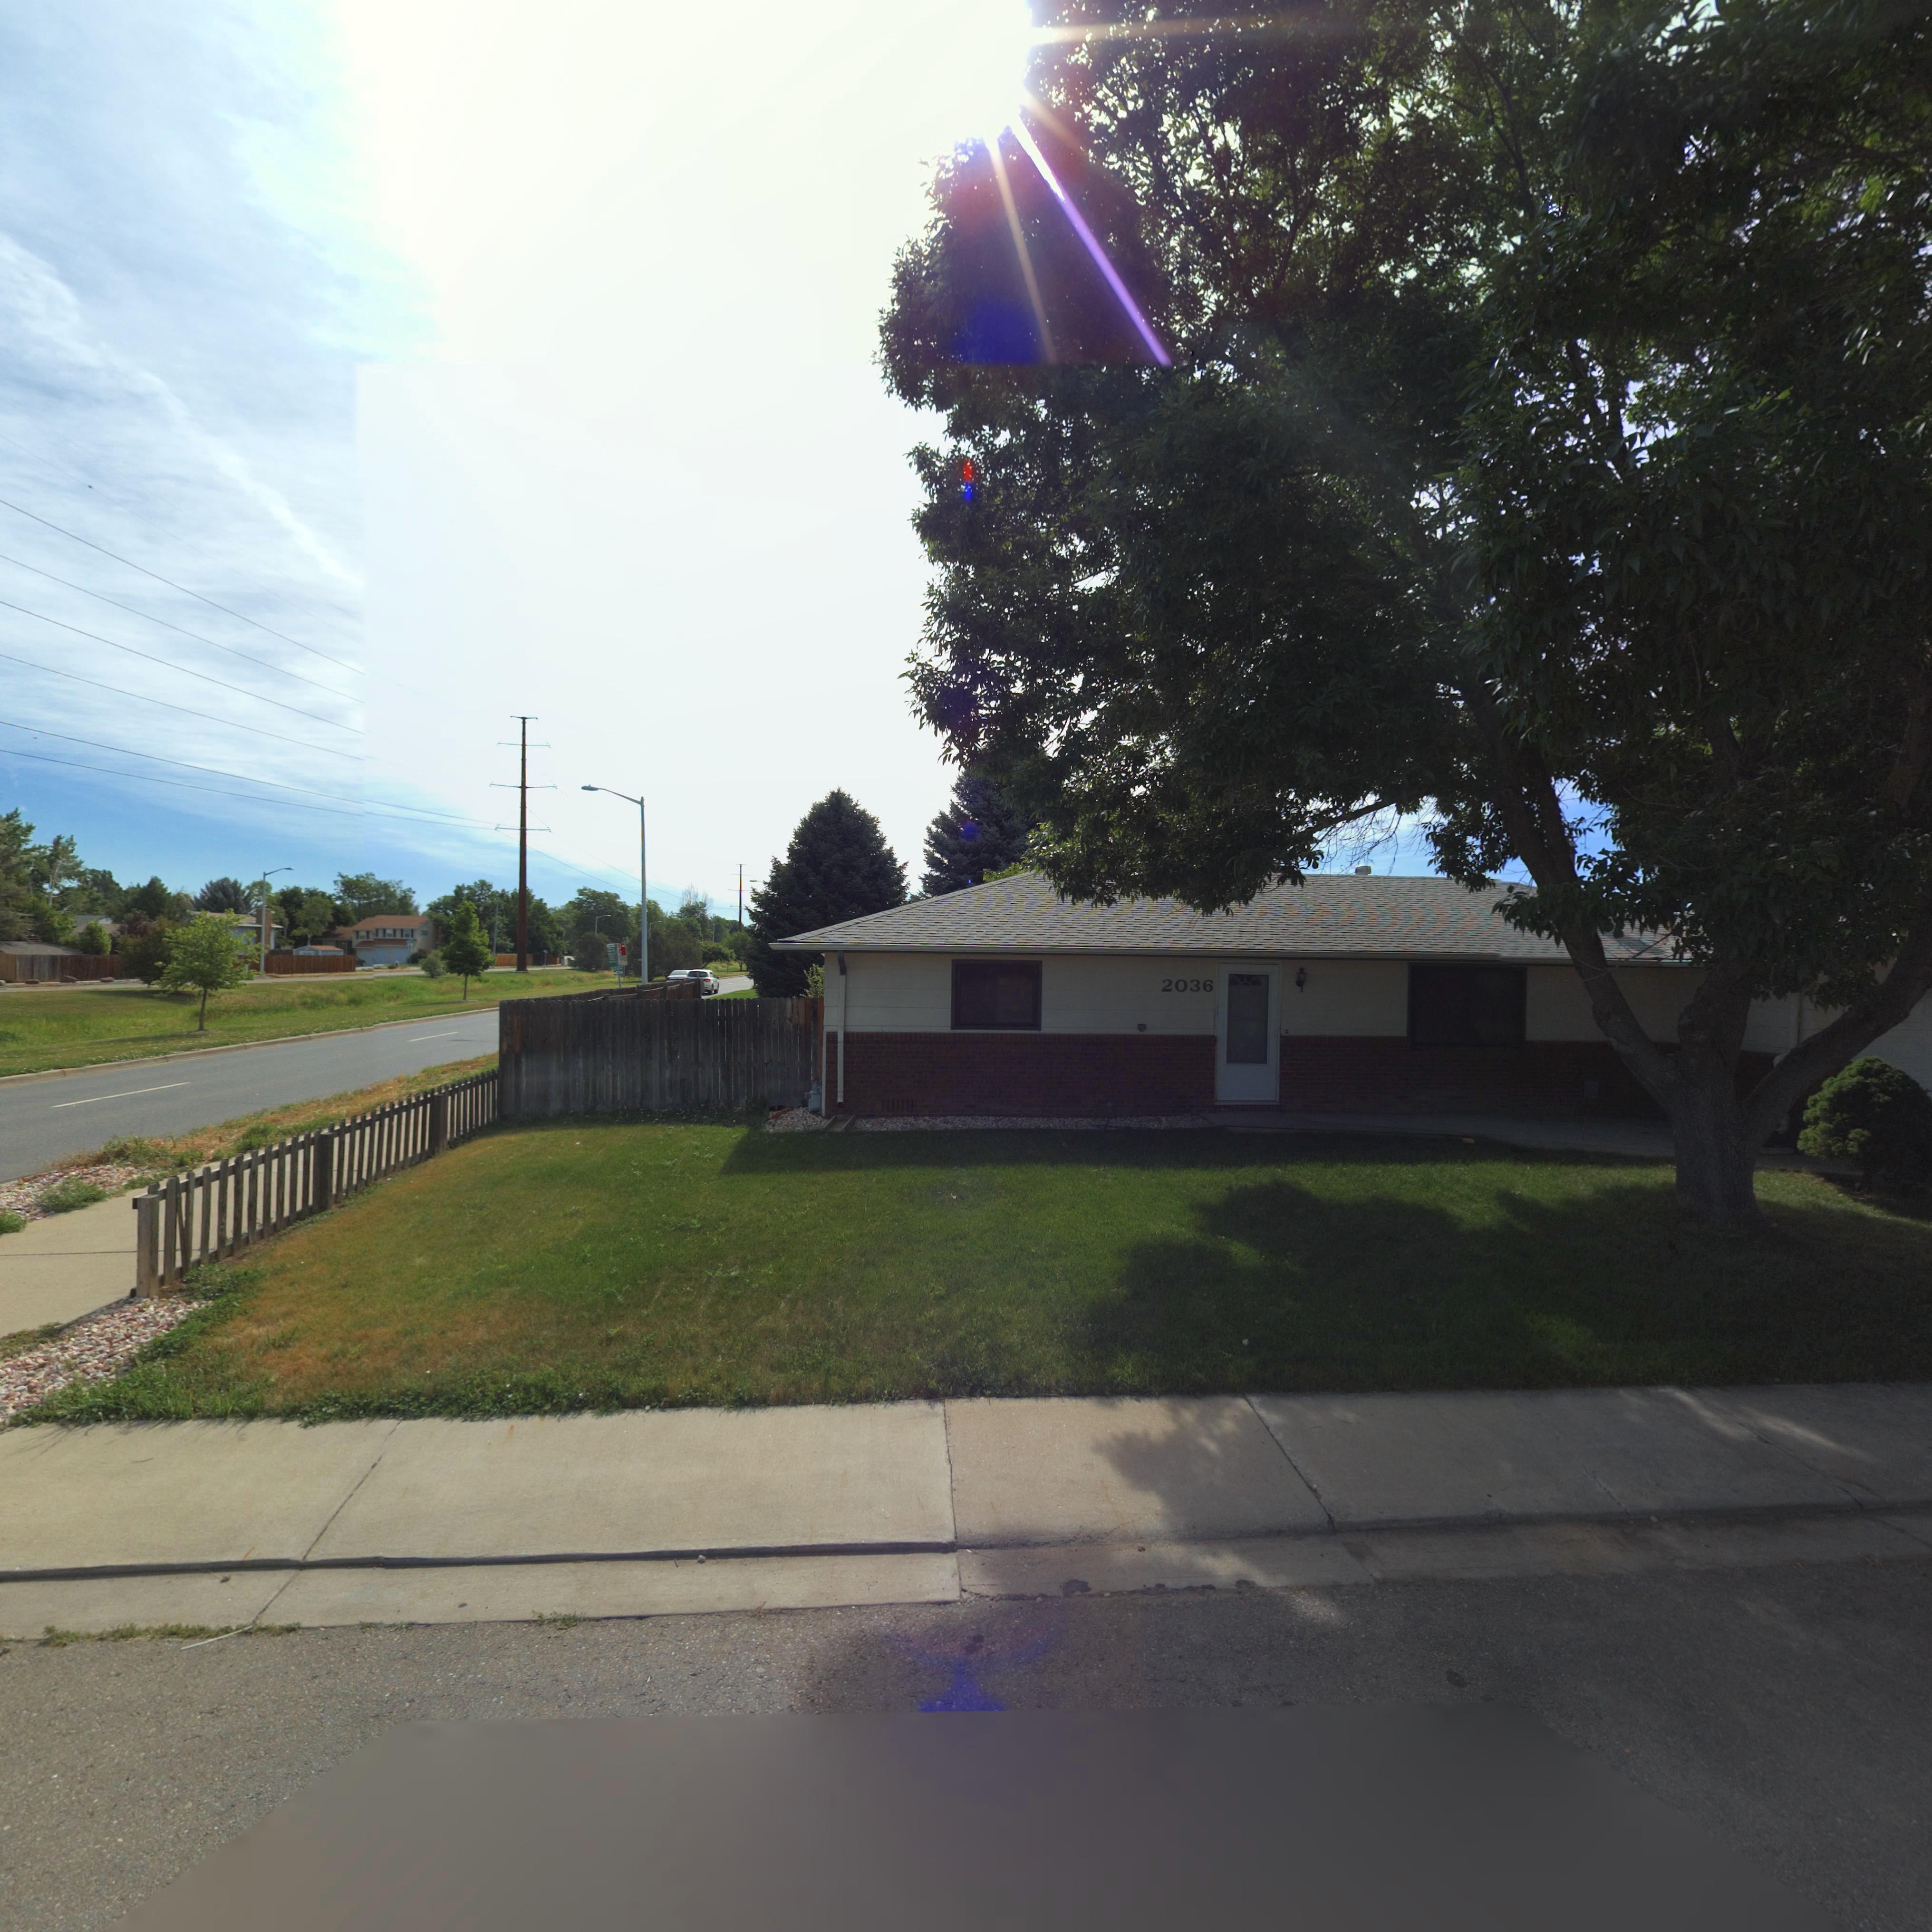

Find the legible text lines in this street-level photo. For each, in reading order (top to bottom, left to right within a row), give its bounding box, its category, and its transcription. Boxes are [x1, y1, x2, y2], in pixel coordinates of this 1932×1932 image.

[1161, 978, 1214, 993] StreetNumber: 2036